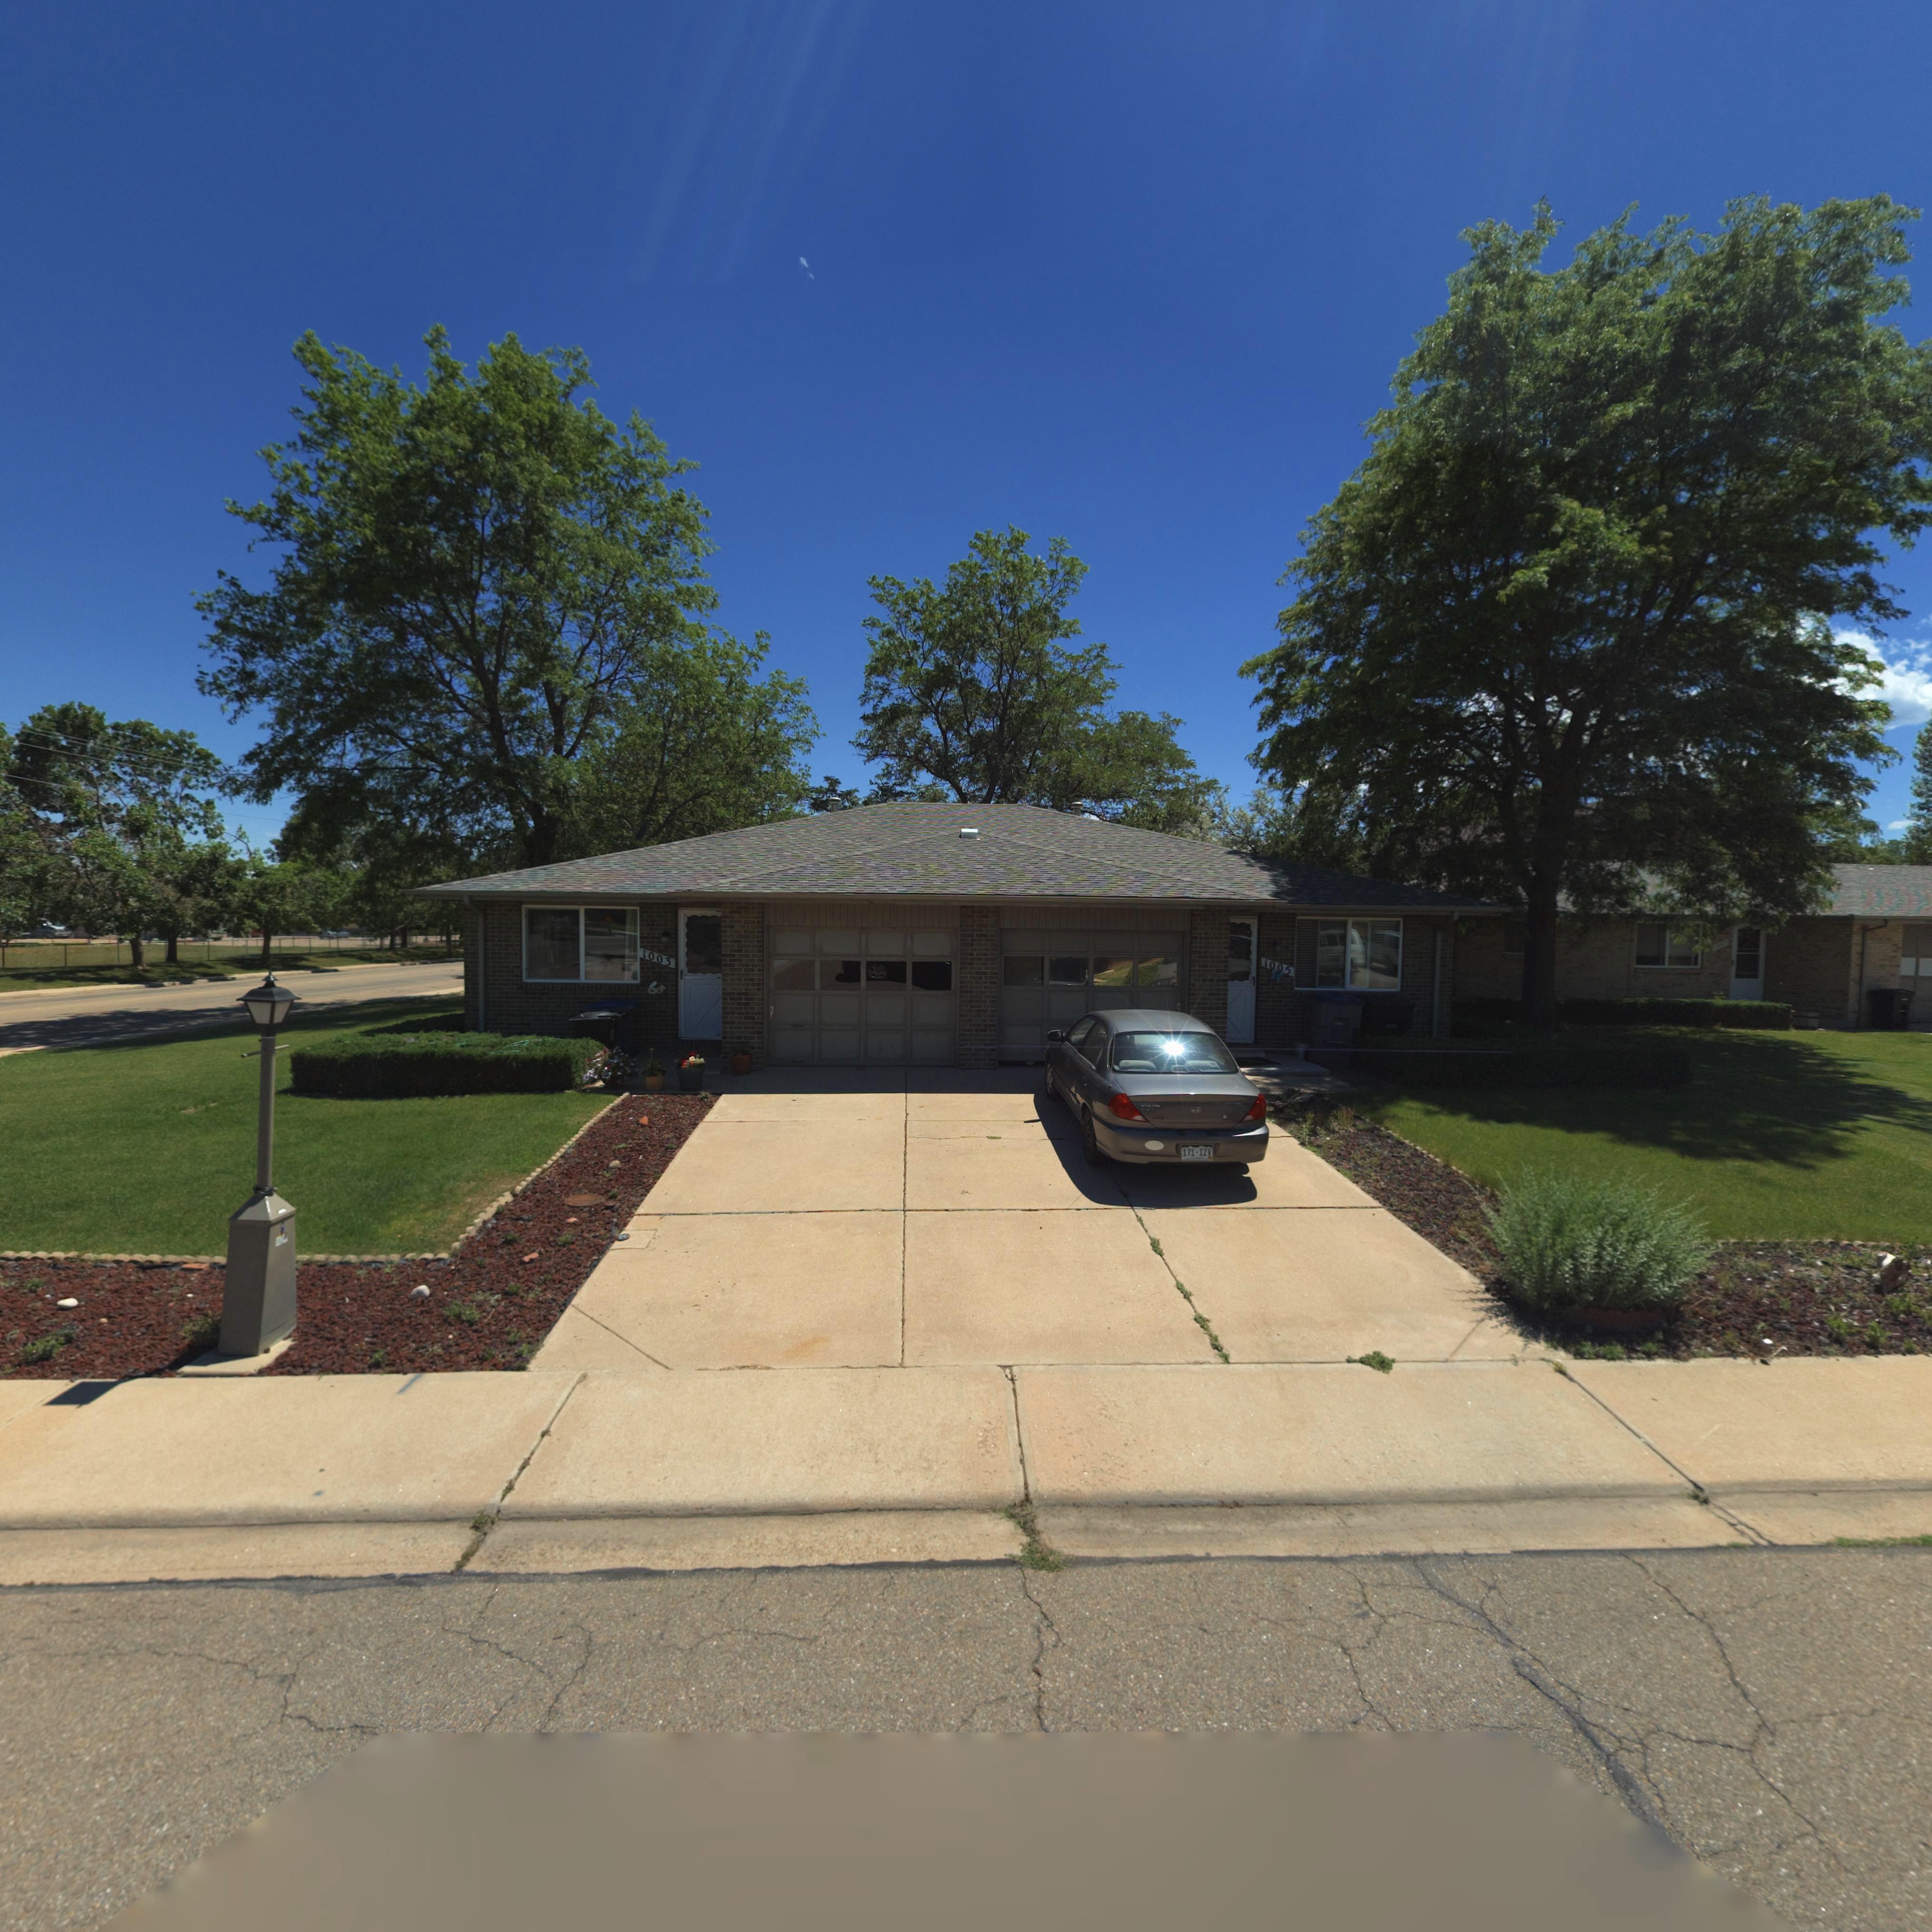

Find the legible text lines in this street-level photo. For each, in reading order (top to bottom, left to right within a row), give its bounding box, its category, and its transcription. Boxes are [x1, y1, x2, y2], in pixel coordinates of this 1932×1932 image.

[642, 949, 671, 966] StreetNumber: 1003
[1264, 958, 1292, 975] StreetNumber: 1005